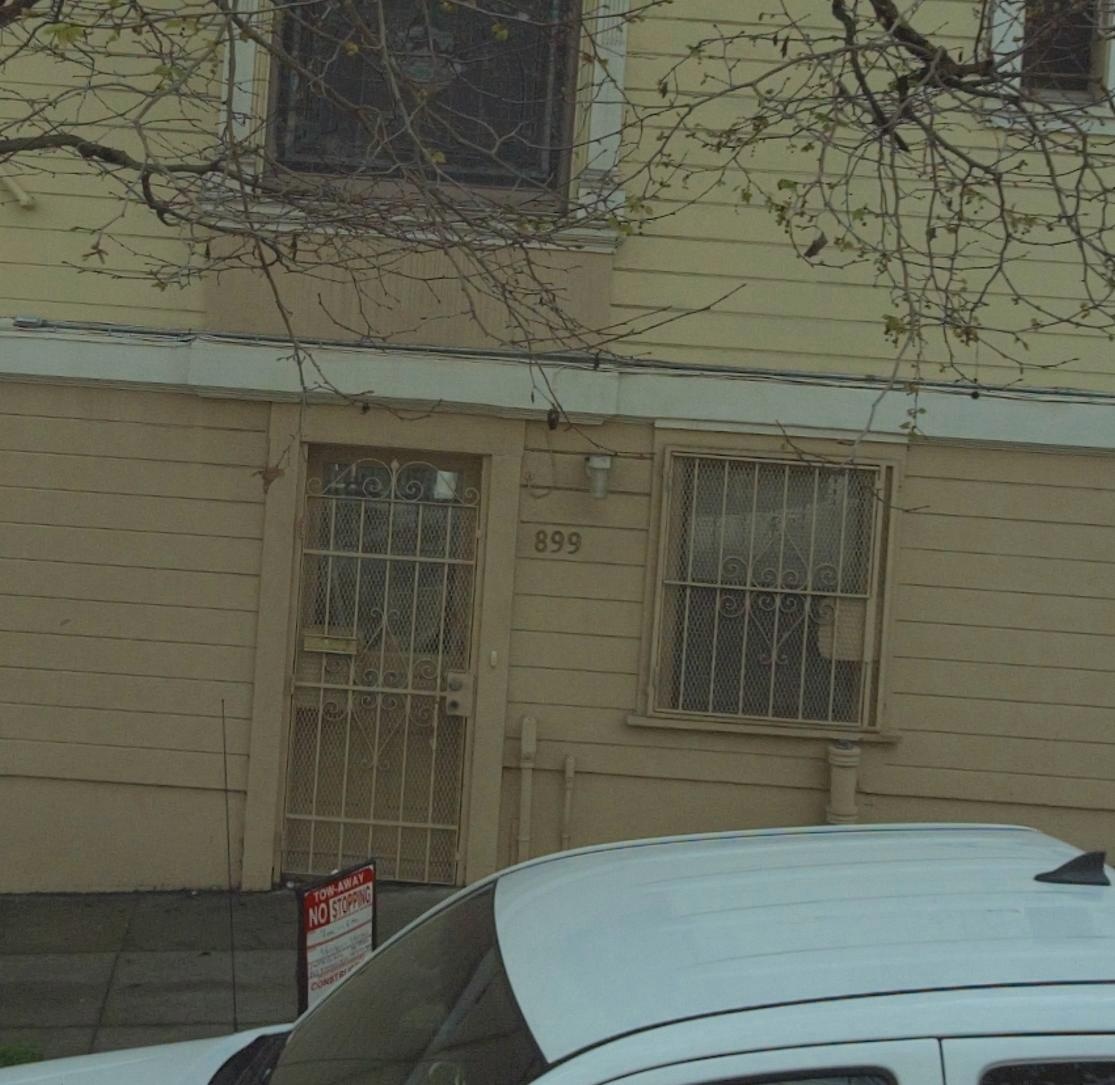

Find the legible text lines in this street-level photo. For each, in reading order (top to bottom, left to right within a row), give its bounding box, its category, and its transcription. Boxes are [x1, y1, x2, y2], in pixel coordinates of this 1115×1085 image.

[532, 525, 585, 558] StreetNumber: 899
[310, 867, 366, 905] None: TOW-AWAY
[306, 879, 374, 932] None: NO STOPPING